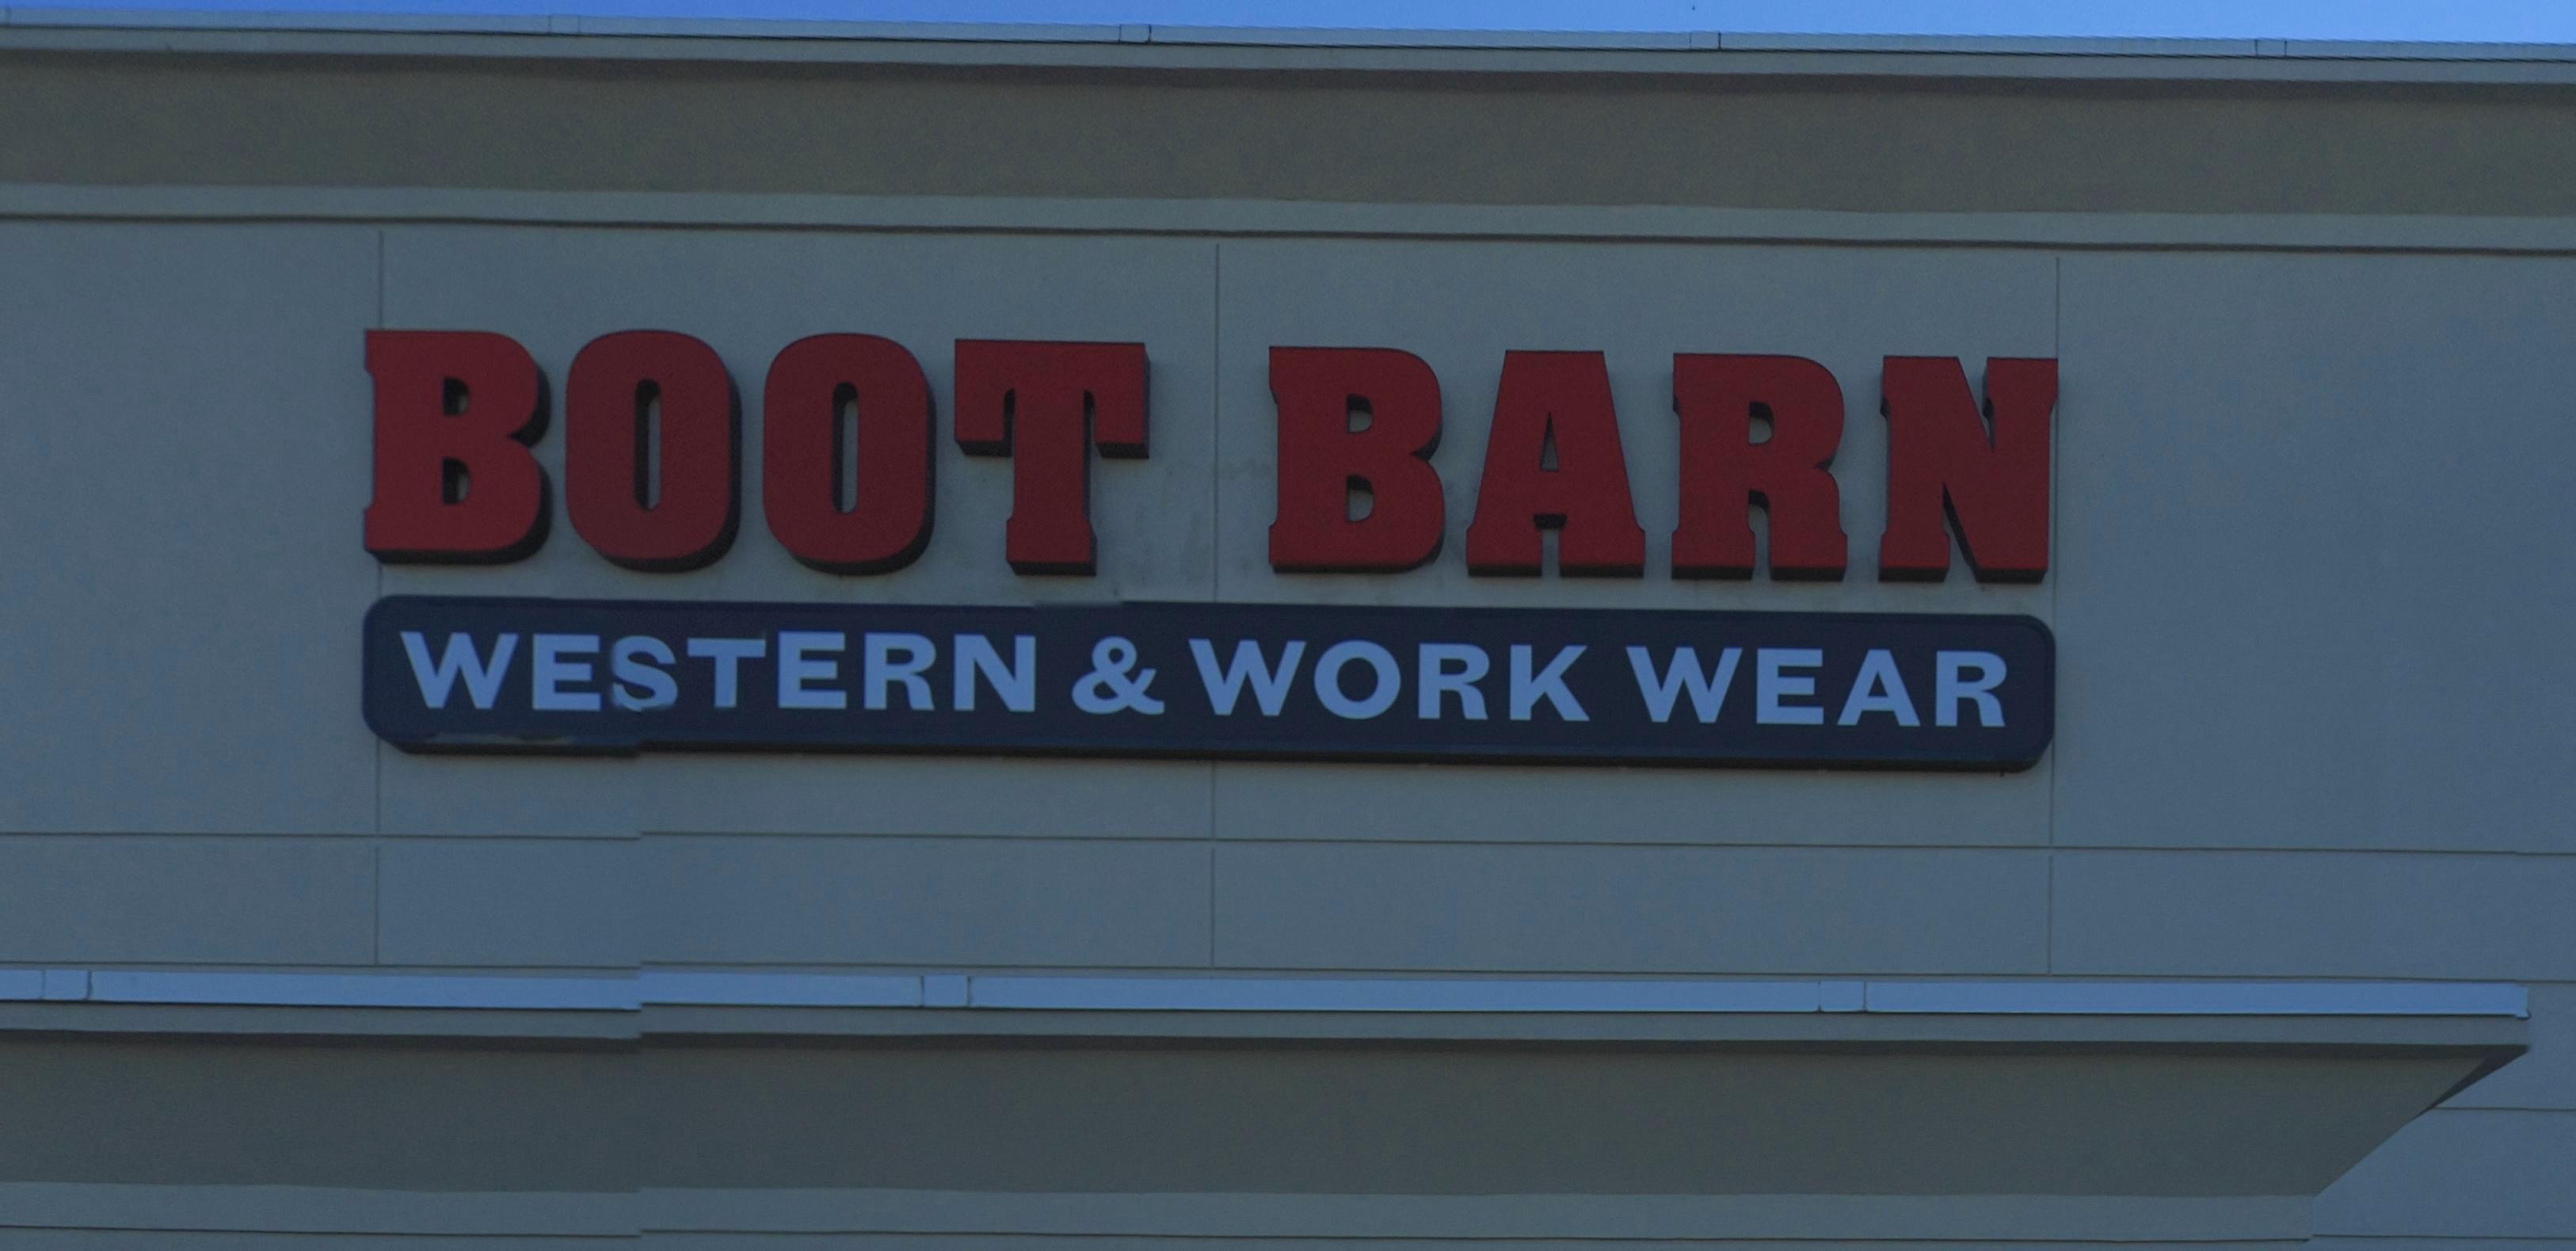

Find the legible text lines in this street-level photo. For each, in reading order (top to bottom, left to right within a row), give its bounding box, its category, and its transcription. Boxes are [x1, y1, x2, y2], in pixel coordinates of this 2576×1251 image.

[360, 325, 2063, 575] BusinessName: BOOT BARN
[394, 627, 2010, 730] None: WESTERN & WORK WEAR